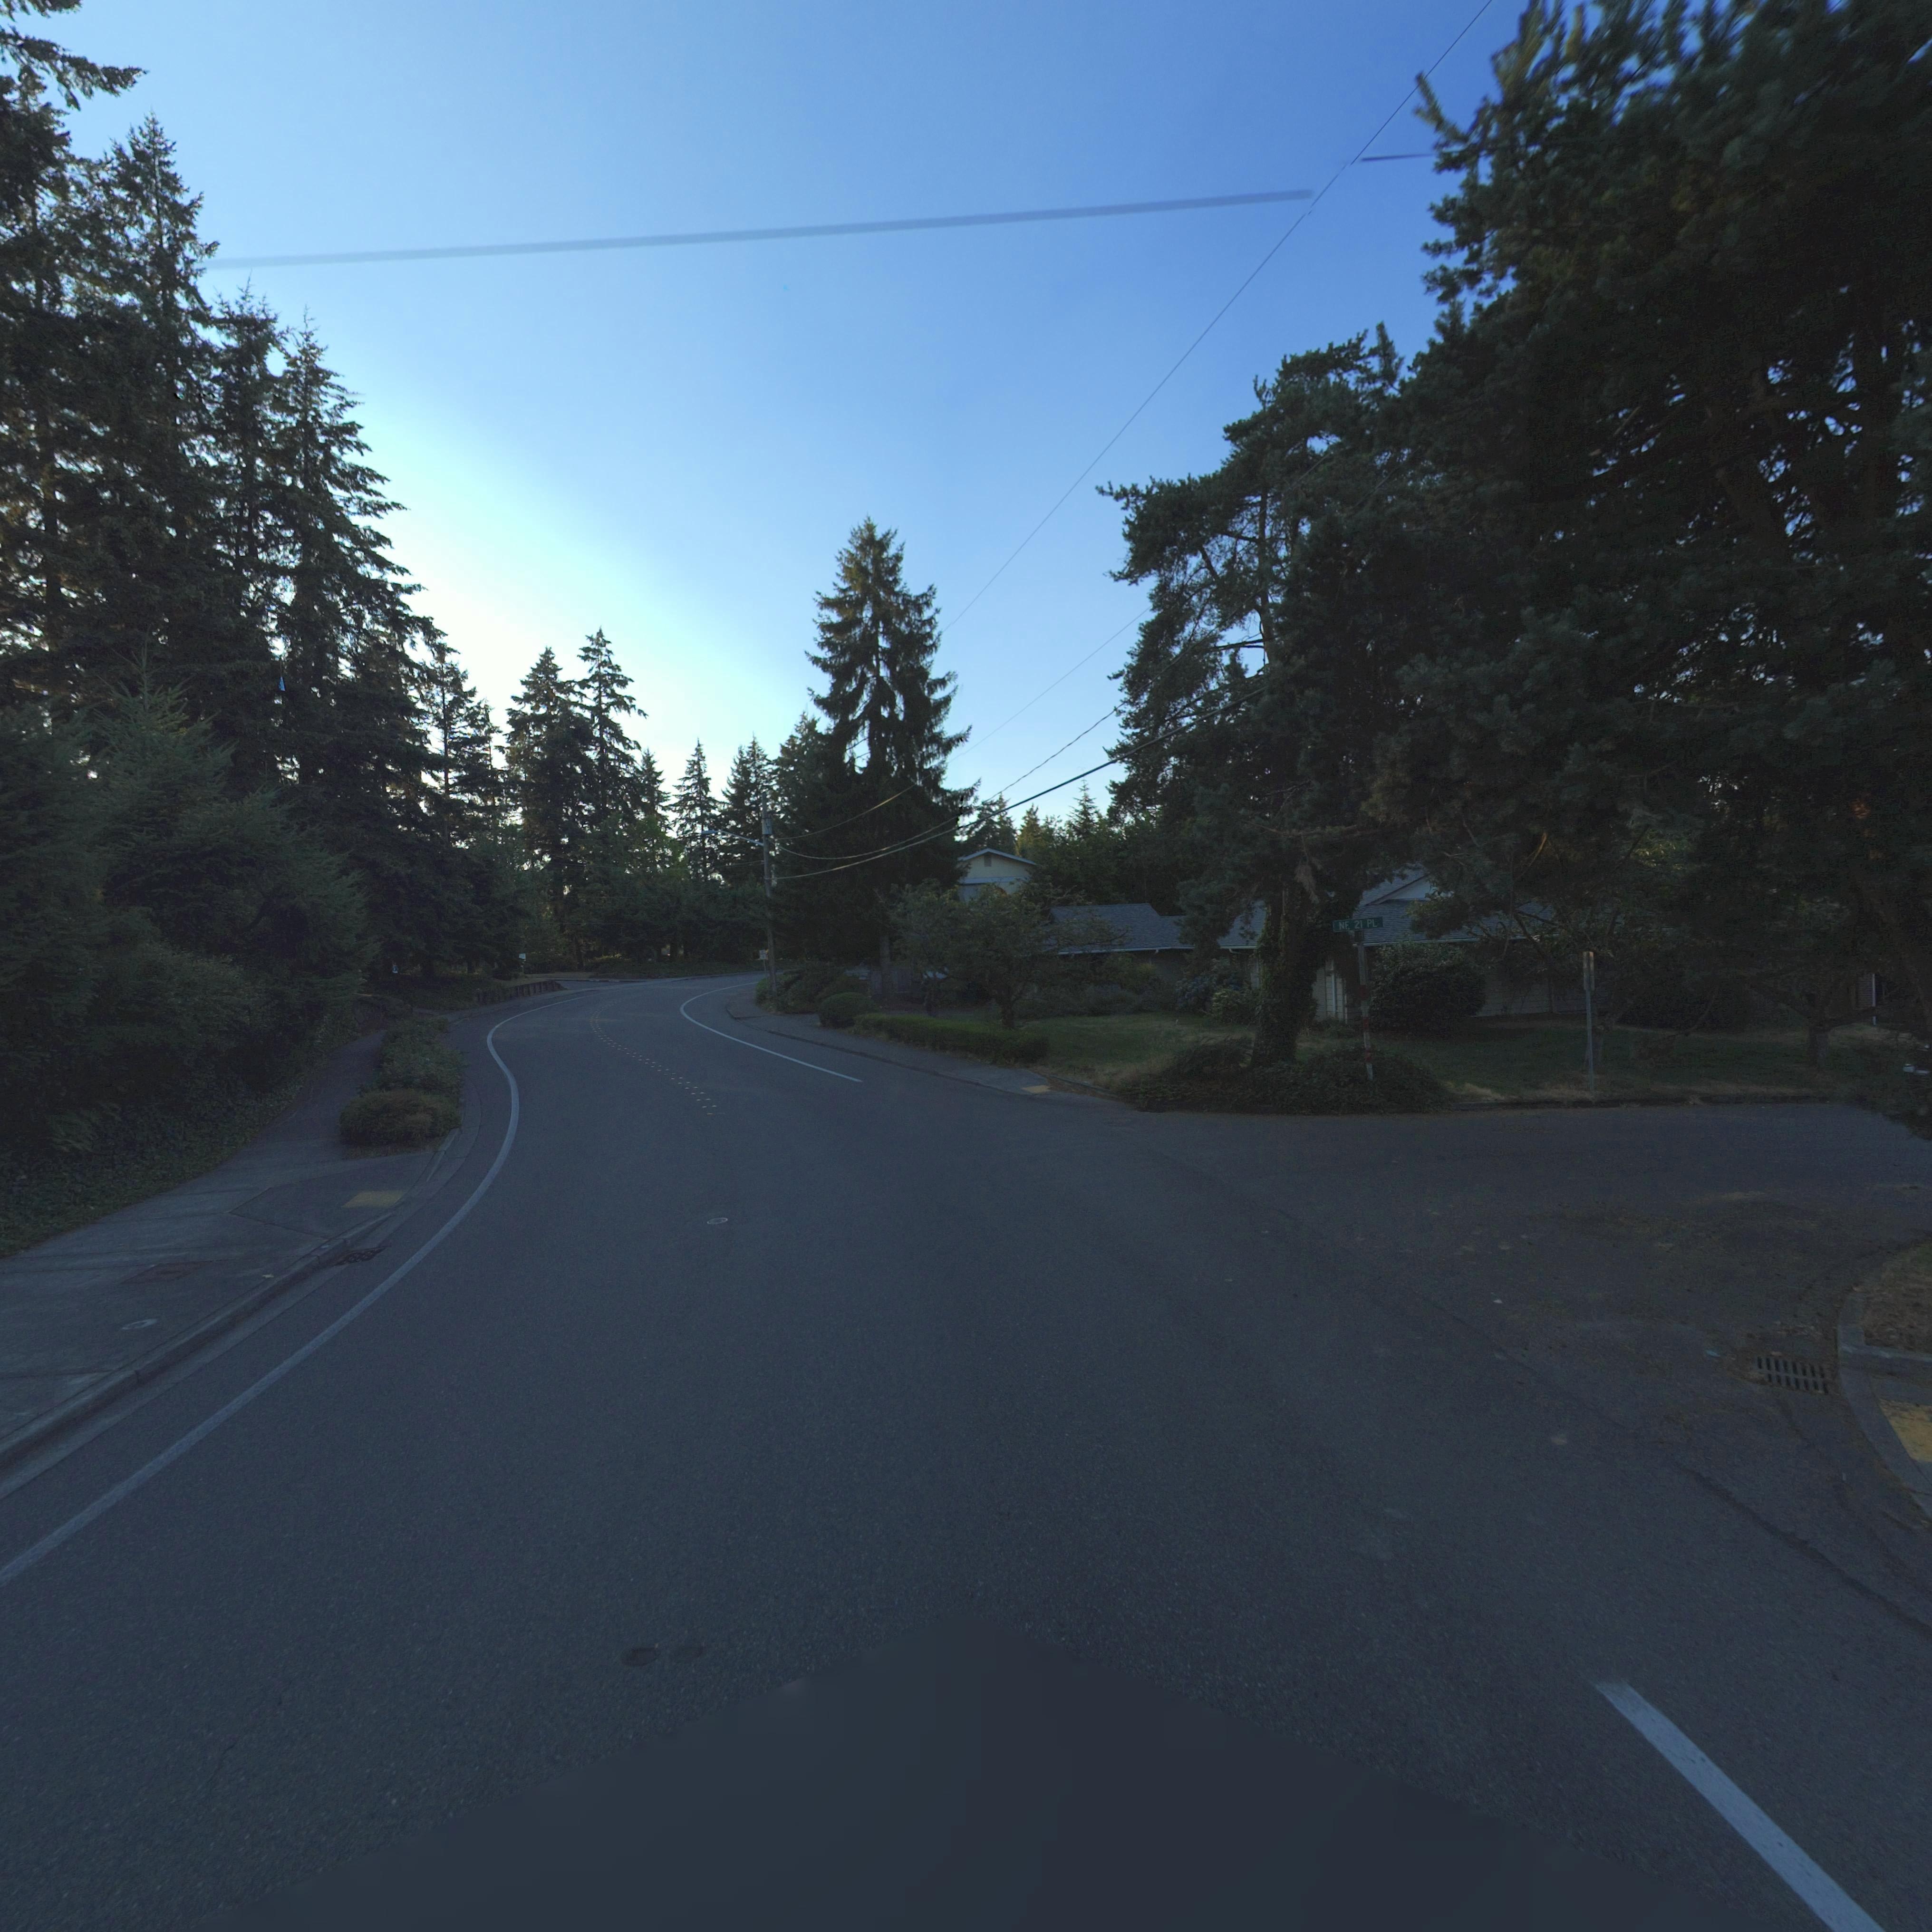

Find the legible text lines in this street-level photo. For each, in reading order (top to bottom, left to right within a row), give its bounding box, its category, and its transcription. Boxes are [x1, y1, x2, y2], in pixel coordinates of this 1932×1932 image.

[1339, 919, 1377, 929] StreetName: NE 21 PL